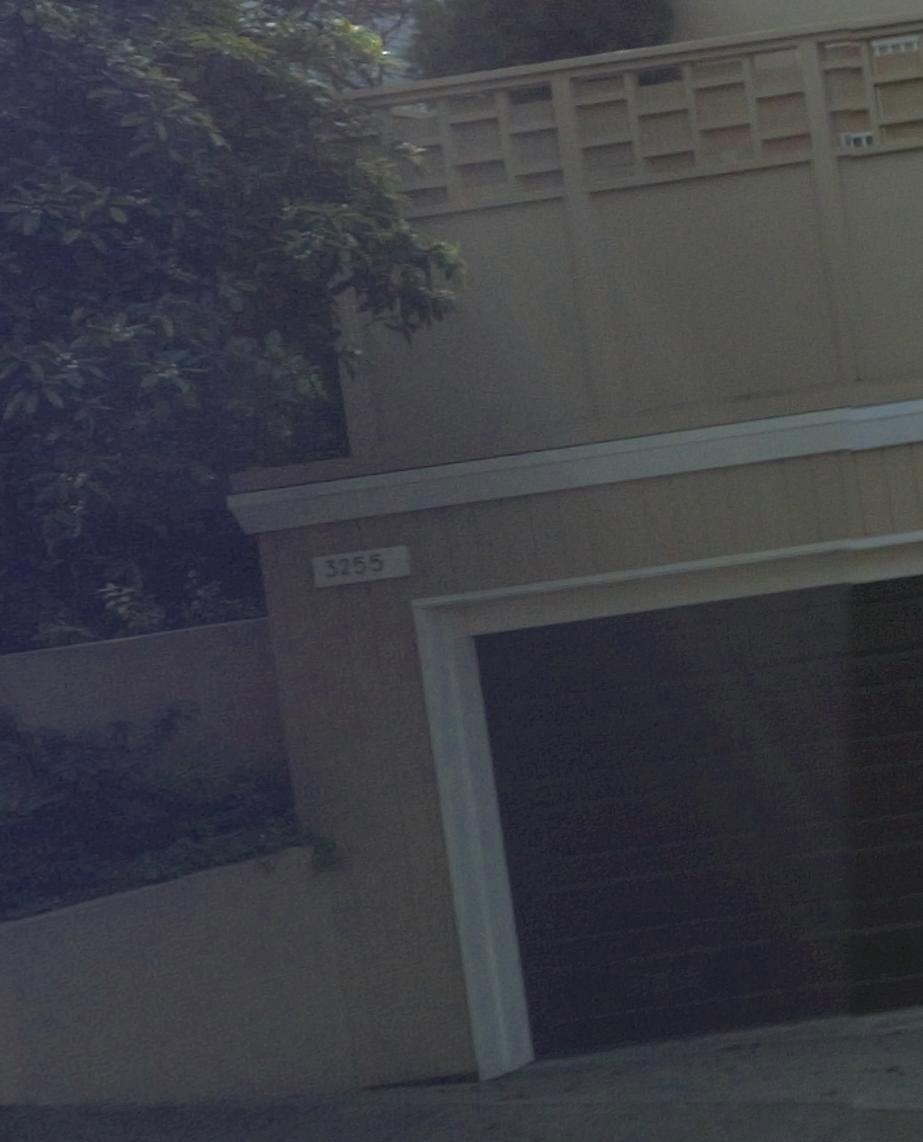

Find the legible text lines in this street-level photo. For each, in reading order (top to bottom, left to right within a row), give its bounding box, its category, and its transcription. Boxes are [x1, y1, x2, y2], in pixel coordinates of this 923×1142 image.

[321, 550, 387, 581] StreetNumber: 3255